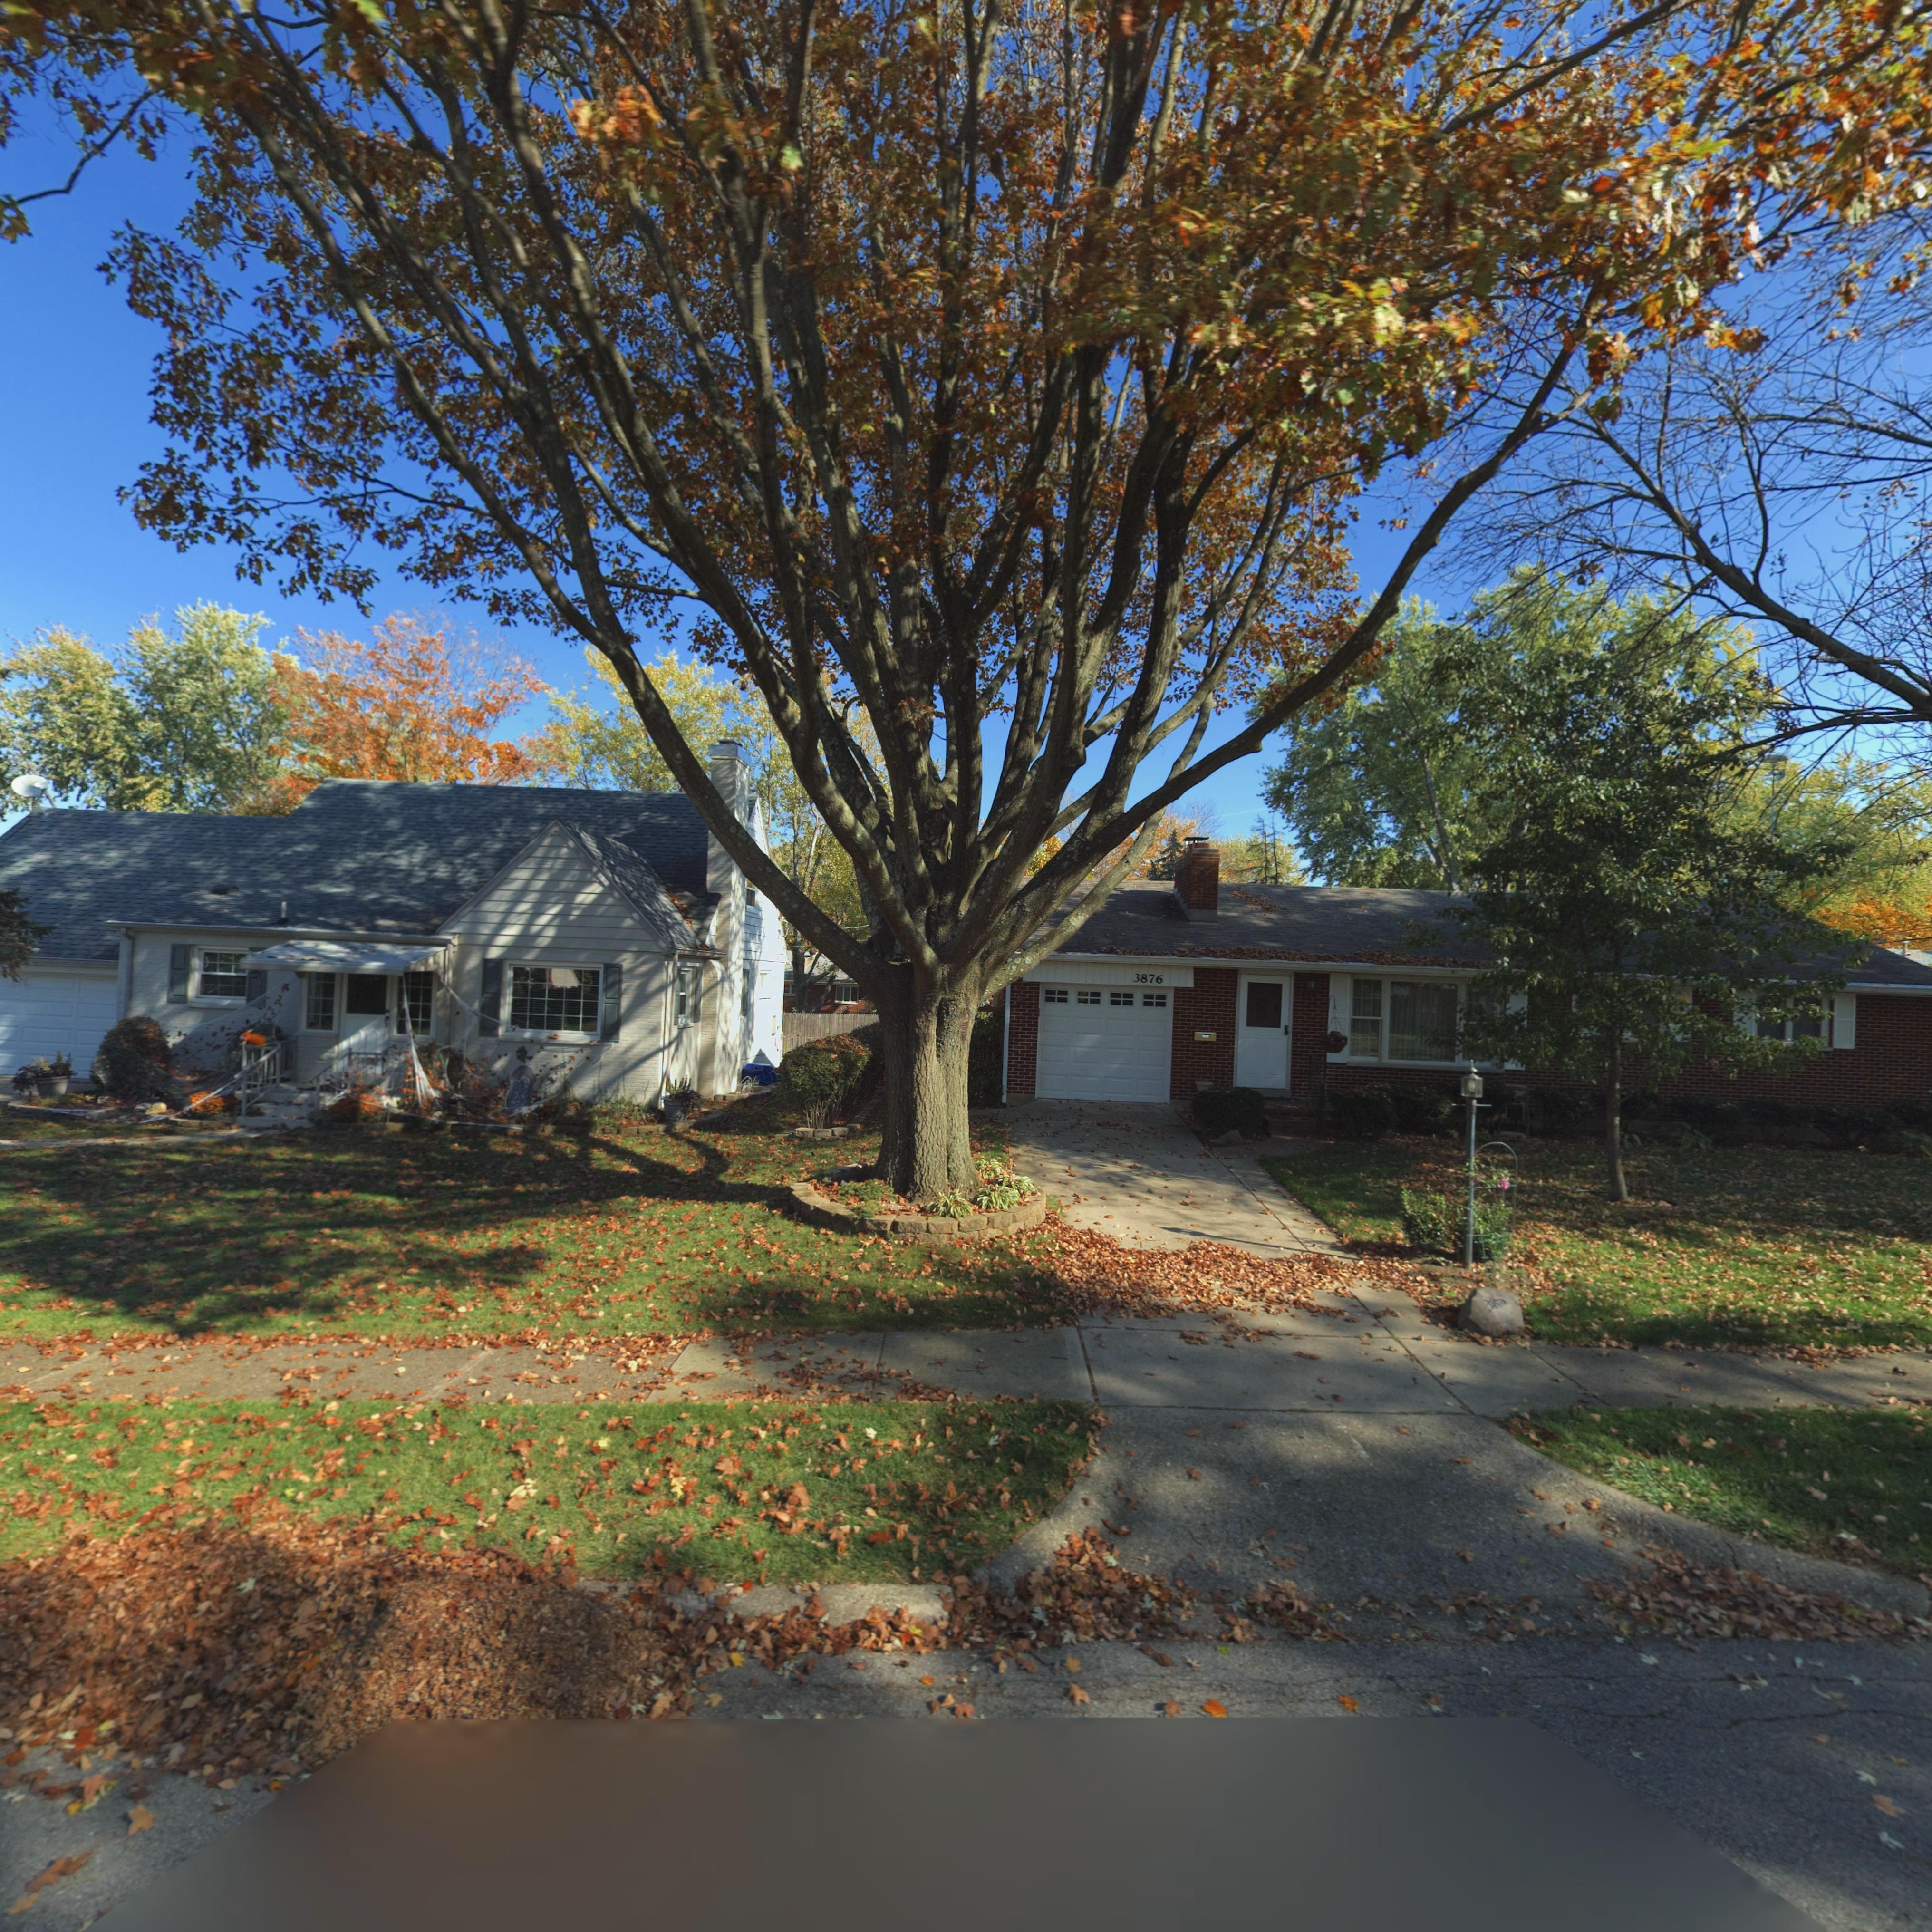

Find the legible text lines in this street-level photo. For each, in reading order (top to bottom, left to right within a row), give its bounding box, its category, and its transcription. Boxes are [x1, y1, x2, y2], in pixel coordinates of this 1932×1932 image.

[1132, 973, 1163, 984] StreetNumber: 3876
[1480, 1297, 1507, 1313] StreetNumber: 38**